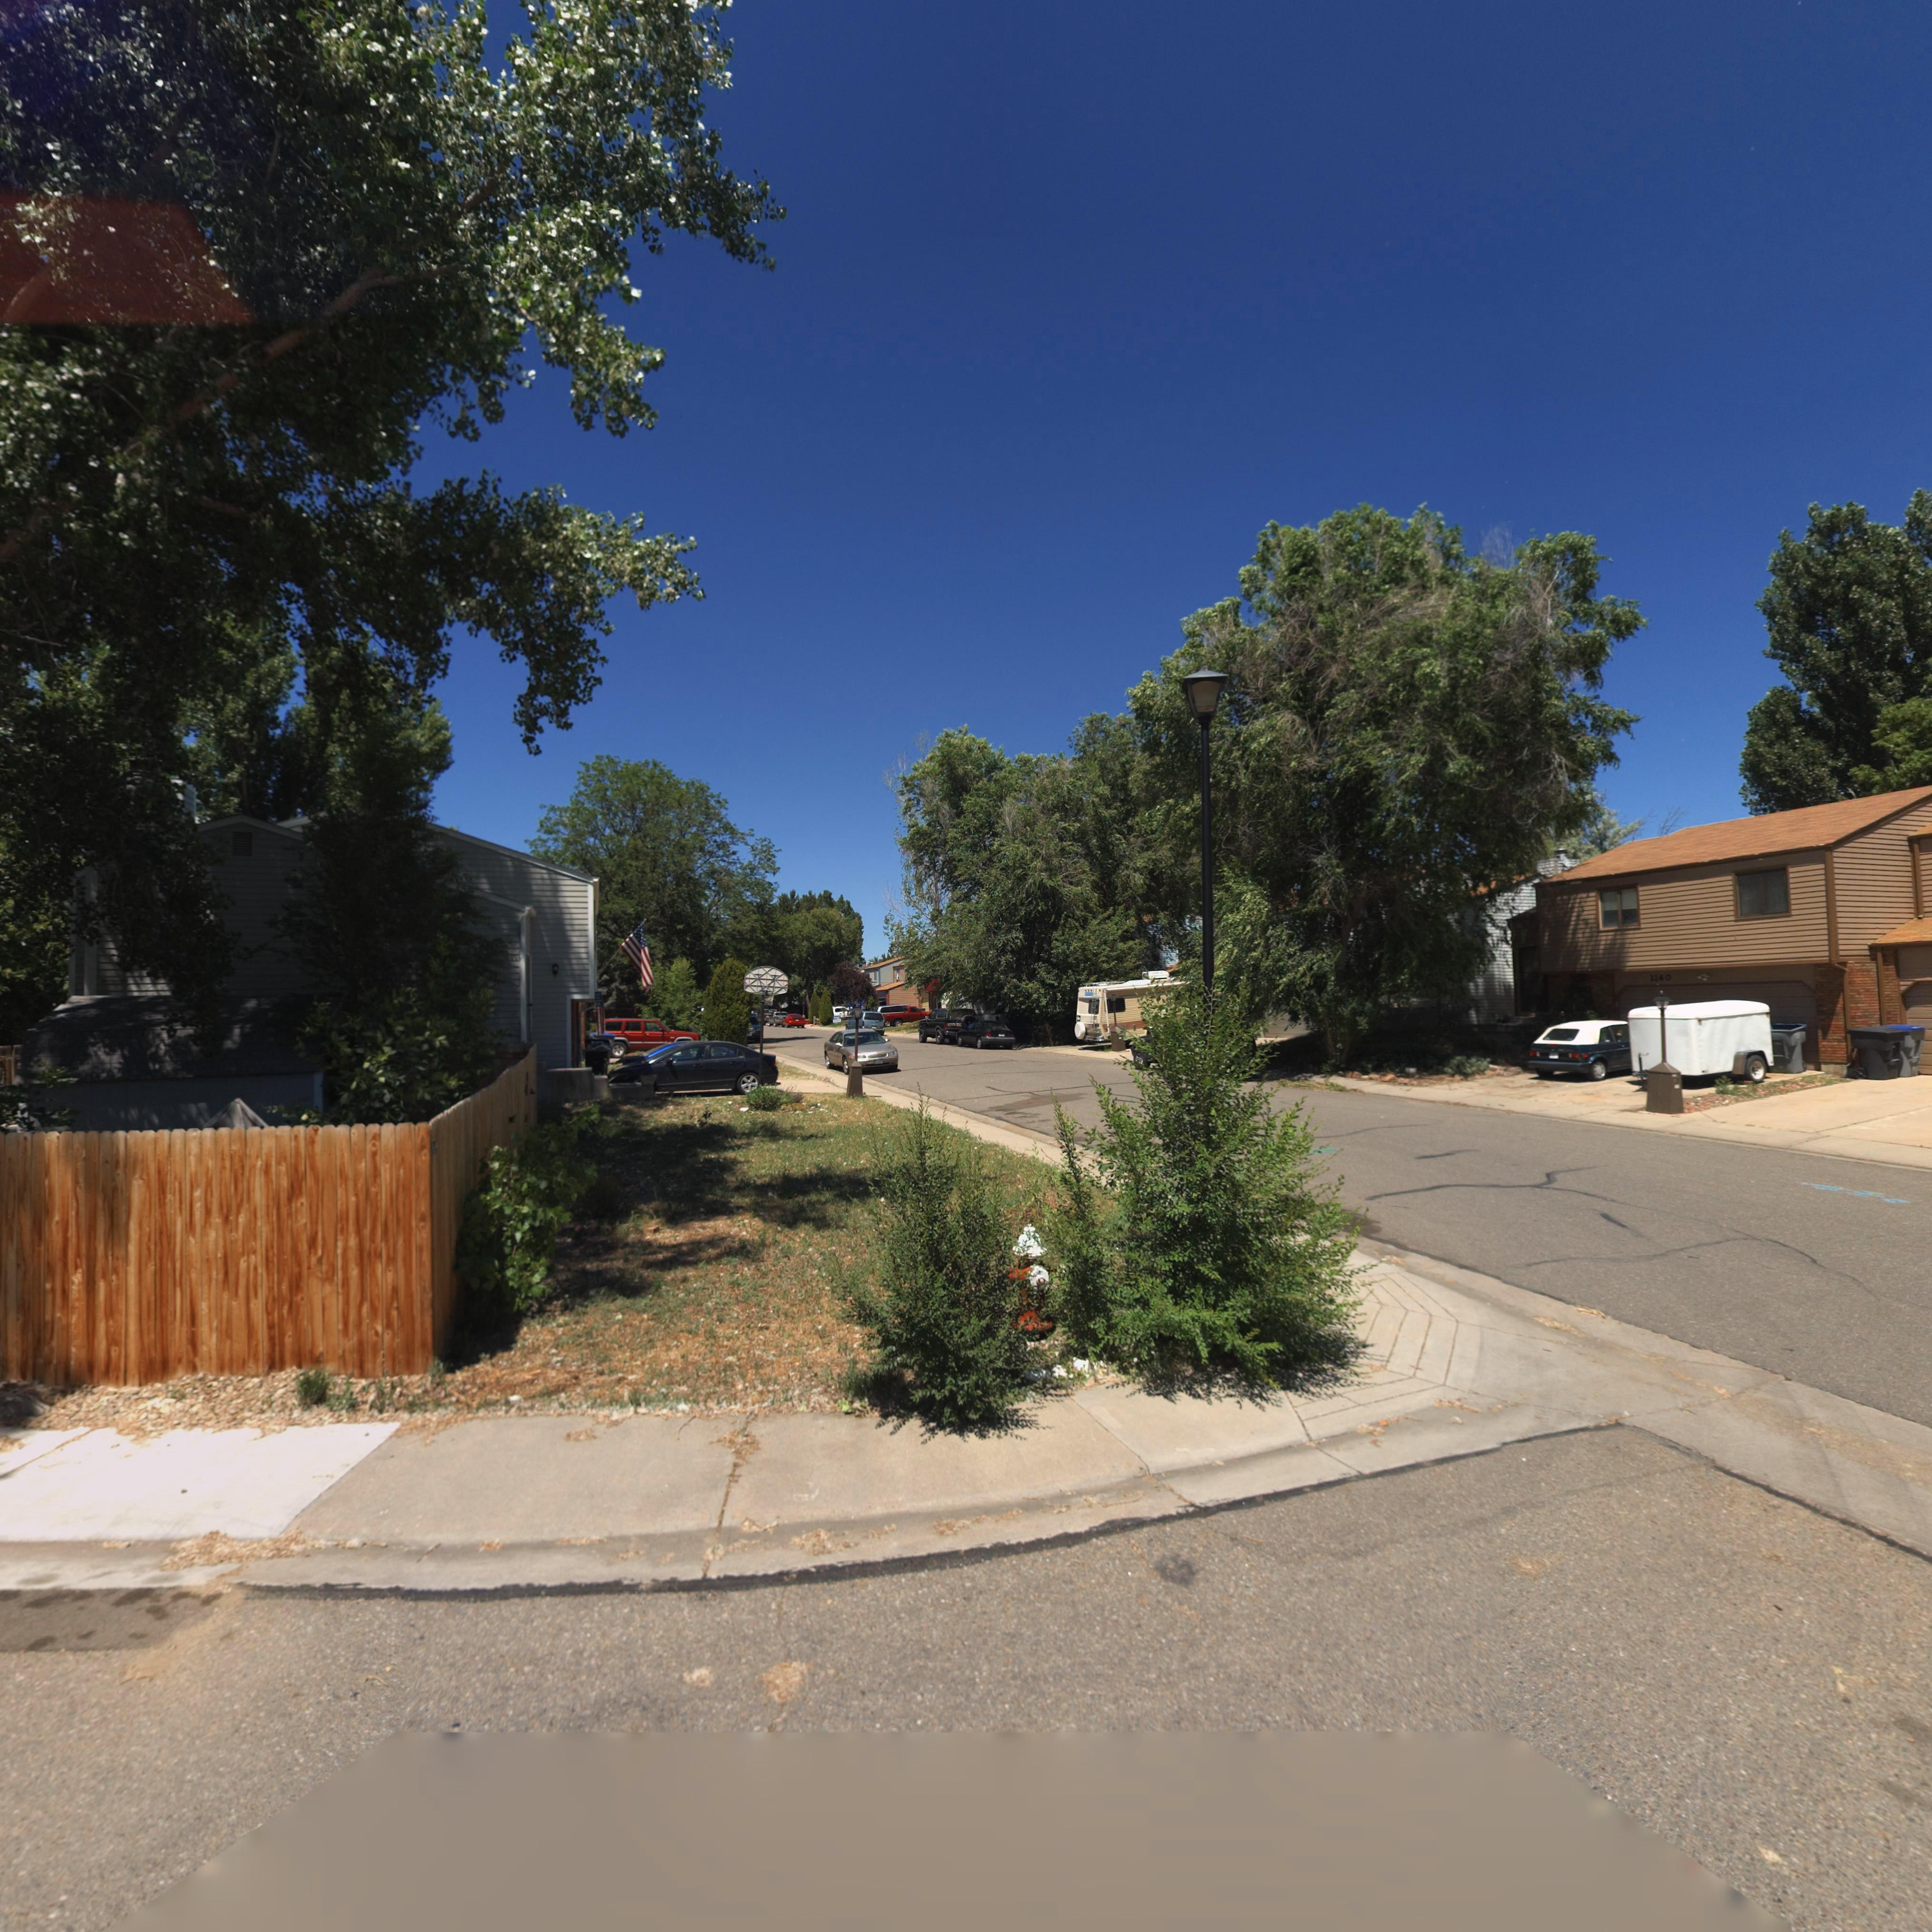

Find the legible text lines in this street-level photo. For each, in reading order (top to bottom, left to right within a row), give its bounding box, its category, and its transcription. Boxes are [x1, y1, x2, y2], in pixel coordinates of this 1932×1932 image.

[1650, 975, 1671, 981] StreetNumber: 1140